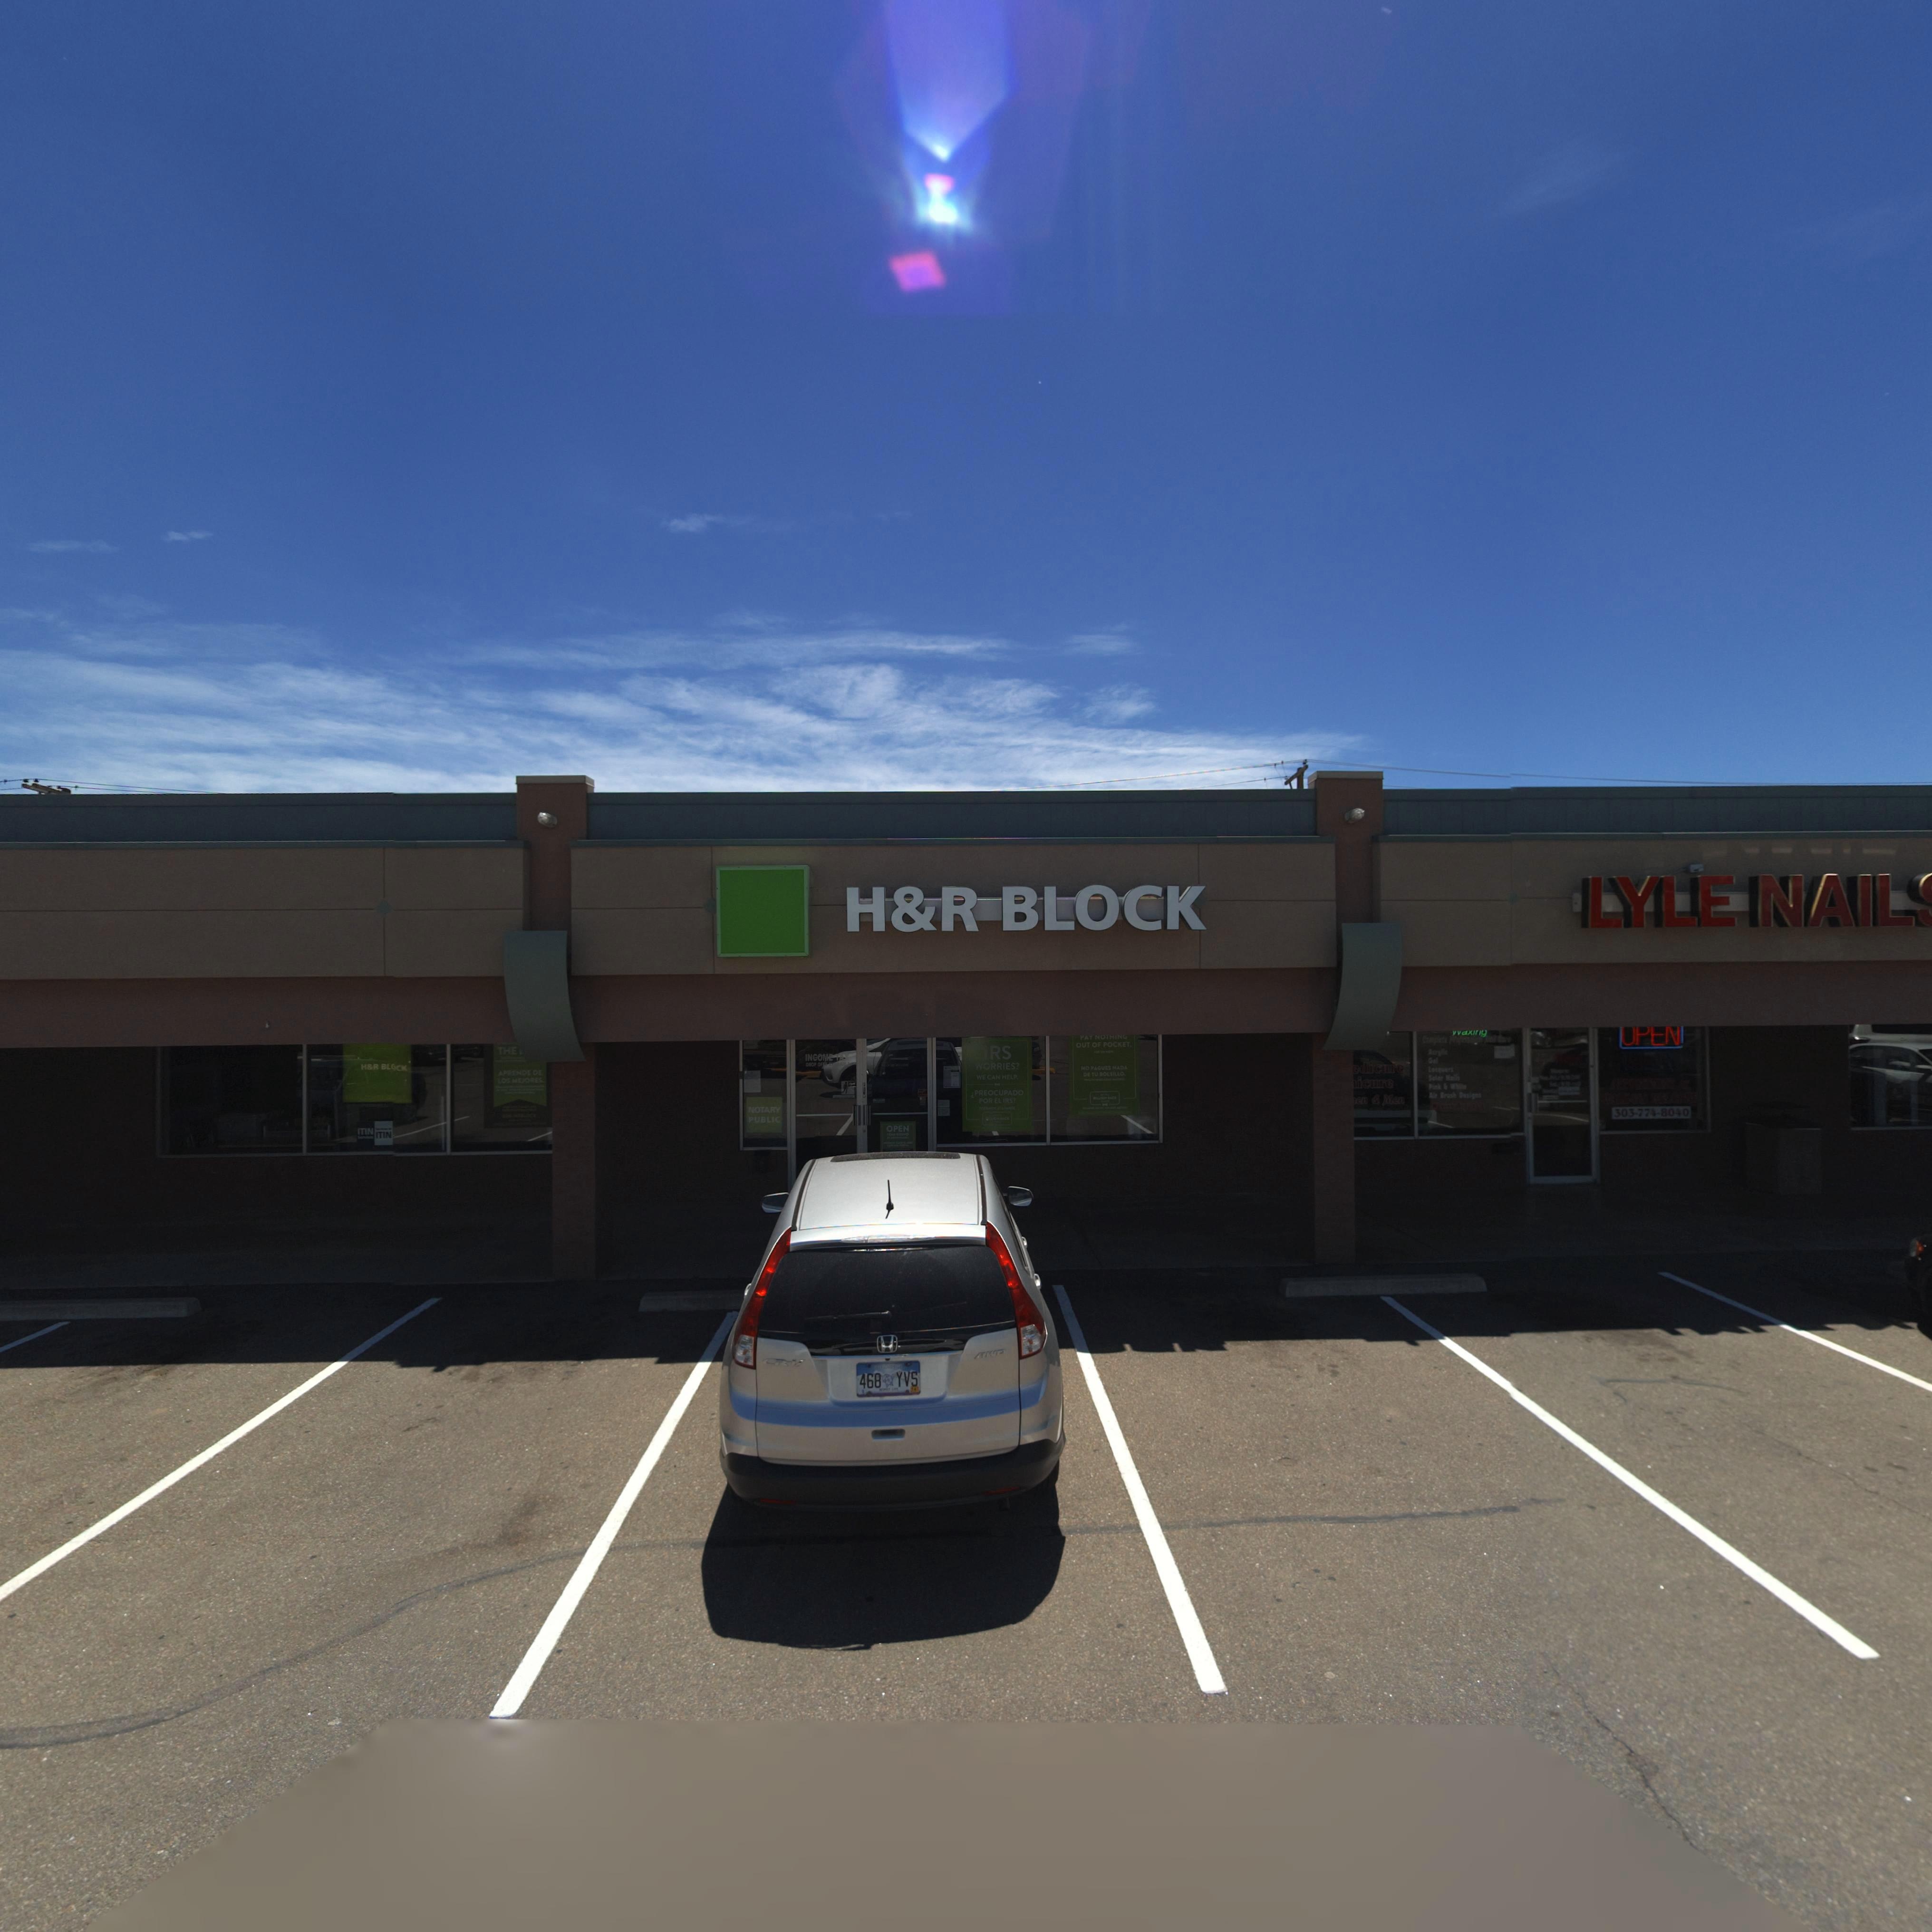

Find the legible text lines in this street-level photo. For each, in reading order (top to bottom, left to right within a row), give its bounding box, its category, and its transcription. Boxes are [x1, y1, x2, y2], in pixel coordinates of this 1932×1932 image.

[845, 884, 1207, 933] BusinessName: H&R BLOCK
[1585, 872, 1917, 929] BusinessName: LYLE NAIL
[360, 1063, 407, 1072] BusinessName: H*R BLOCK